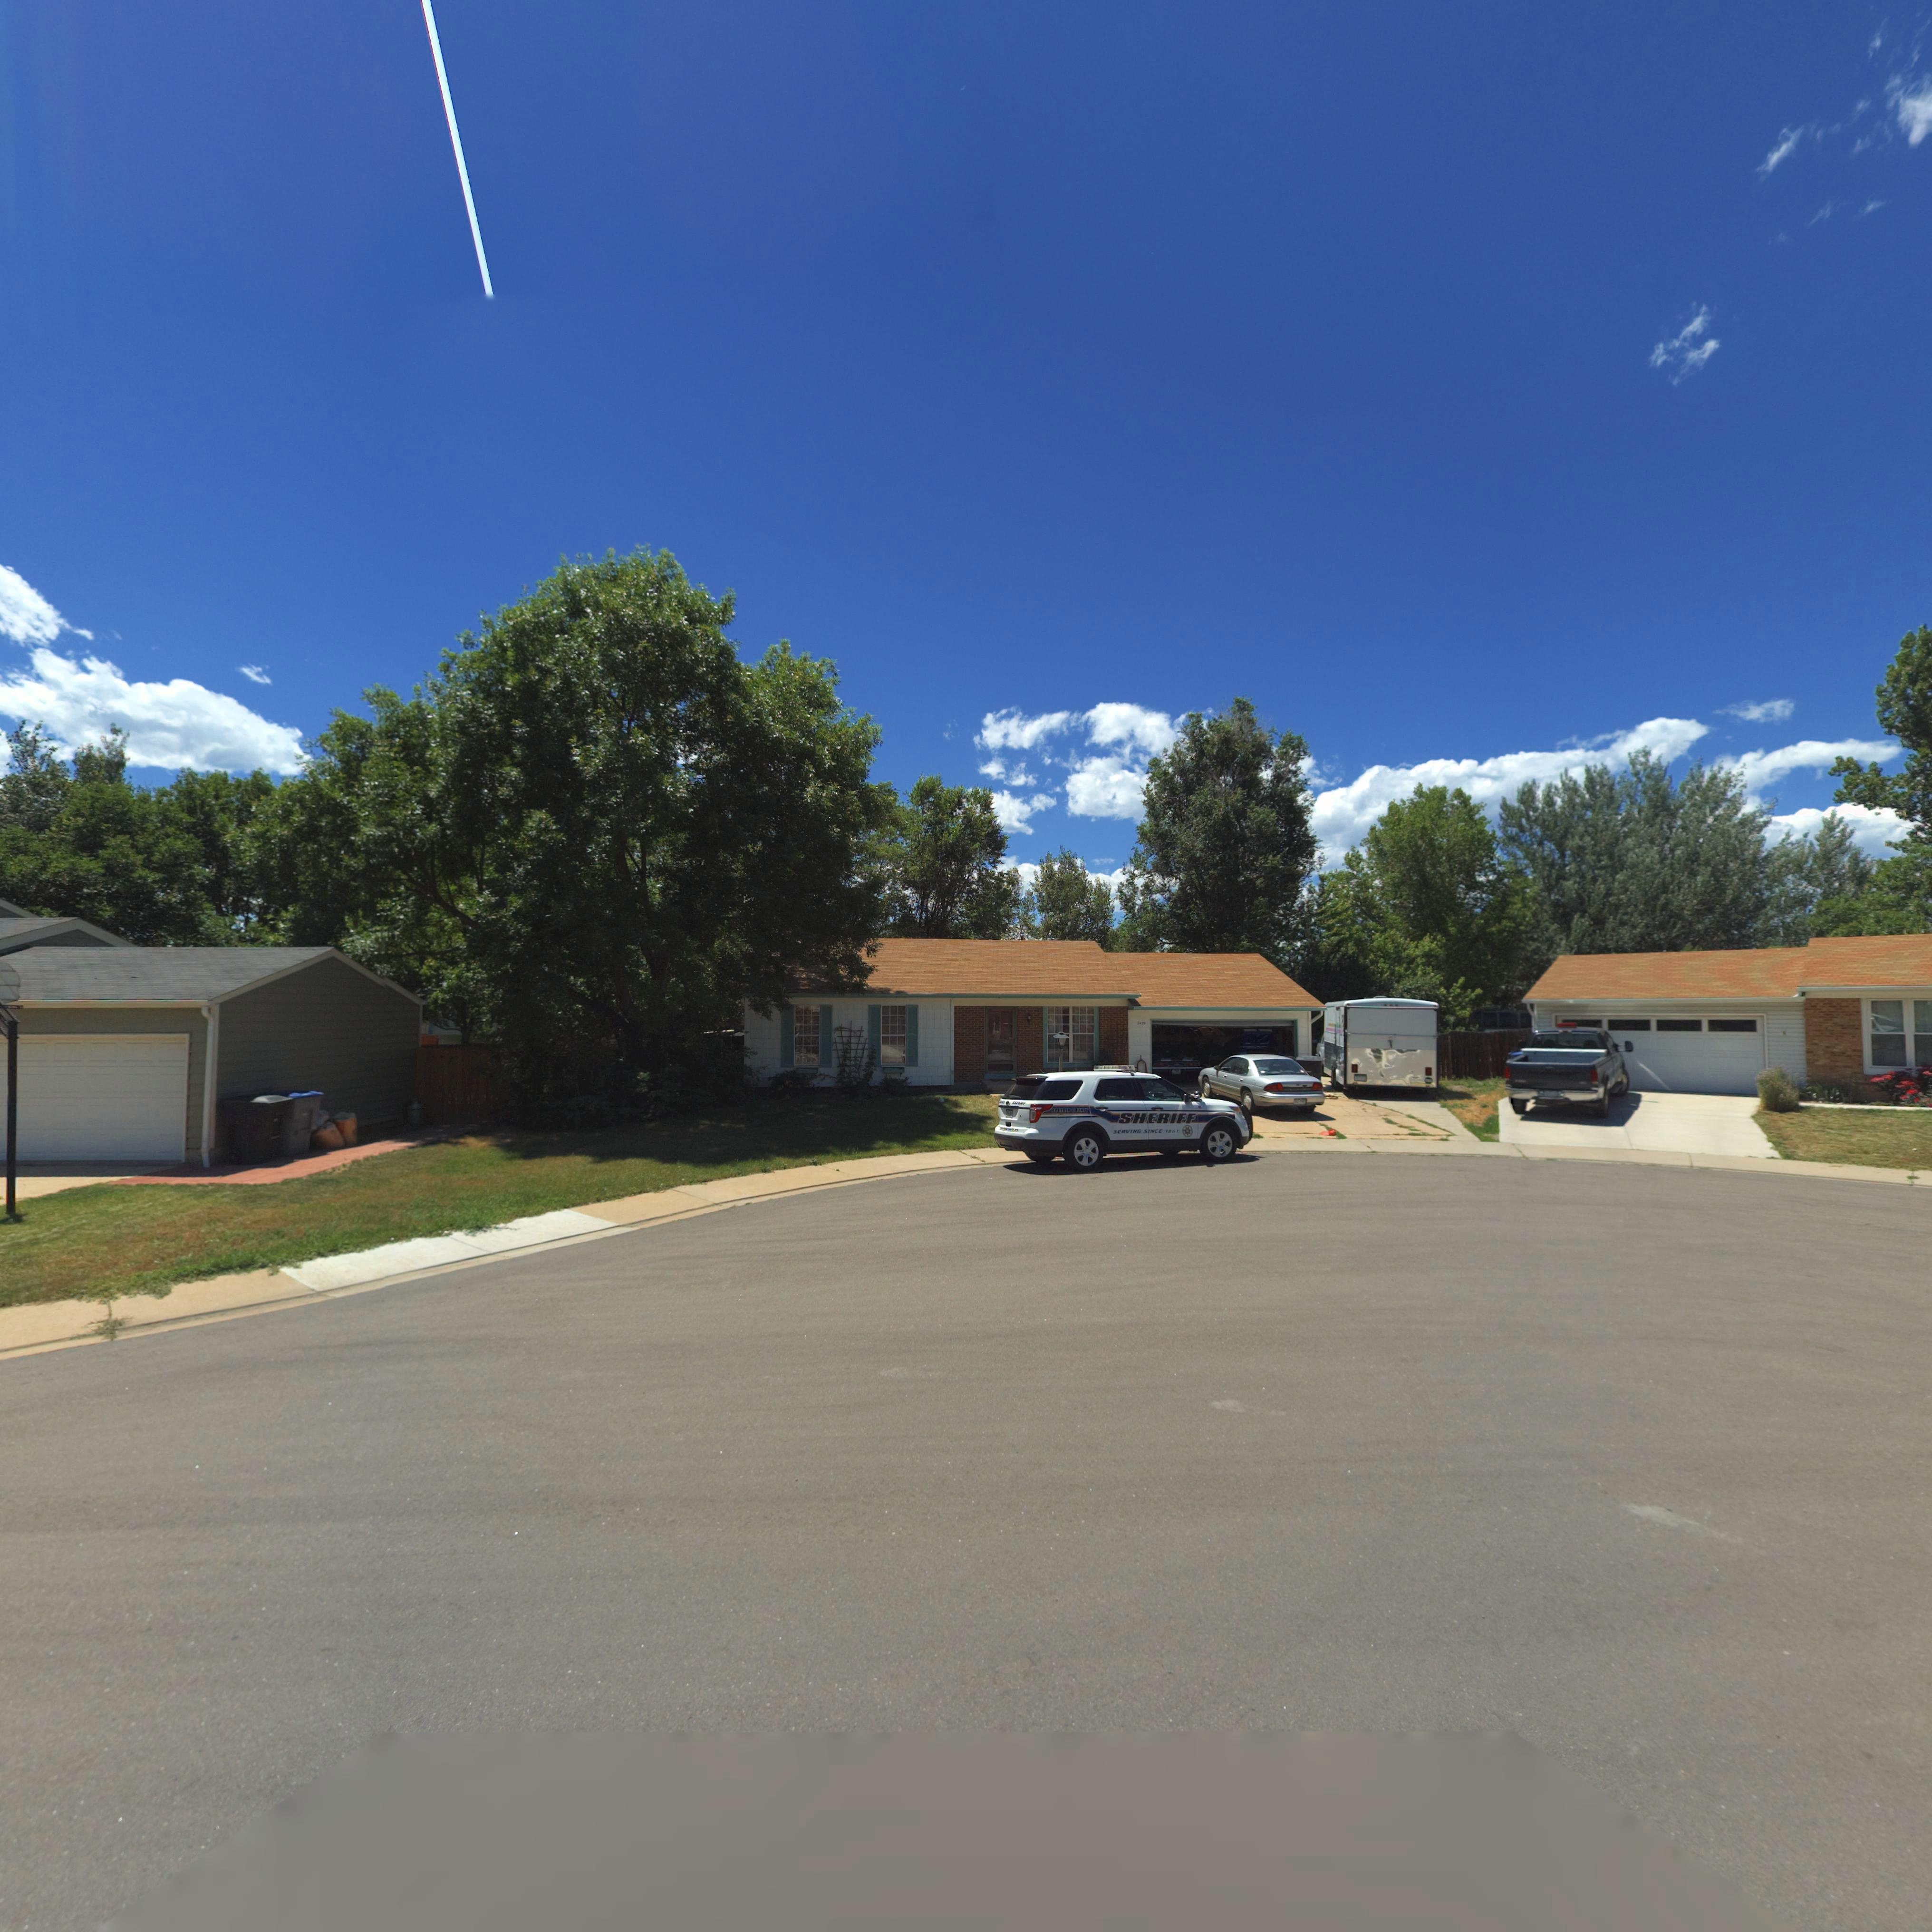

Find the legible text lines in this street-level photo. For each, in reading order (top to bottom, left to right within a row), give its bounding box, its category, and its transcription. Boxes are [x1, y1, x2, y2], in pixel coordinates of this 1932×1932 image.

[1136, 1021, 1146, 1025] StreetNumber: 2429